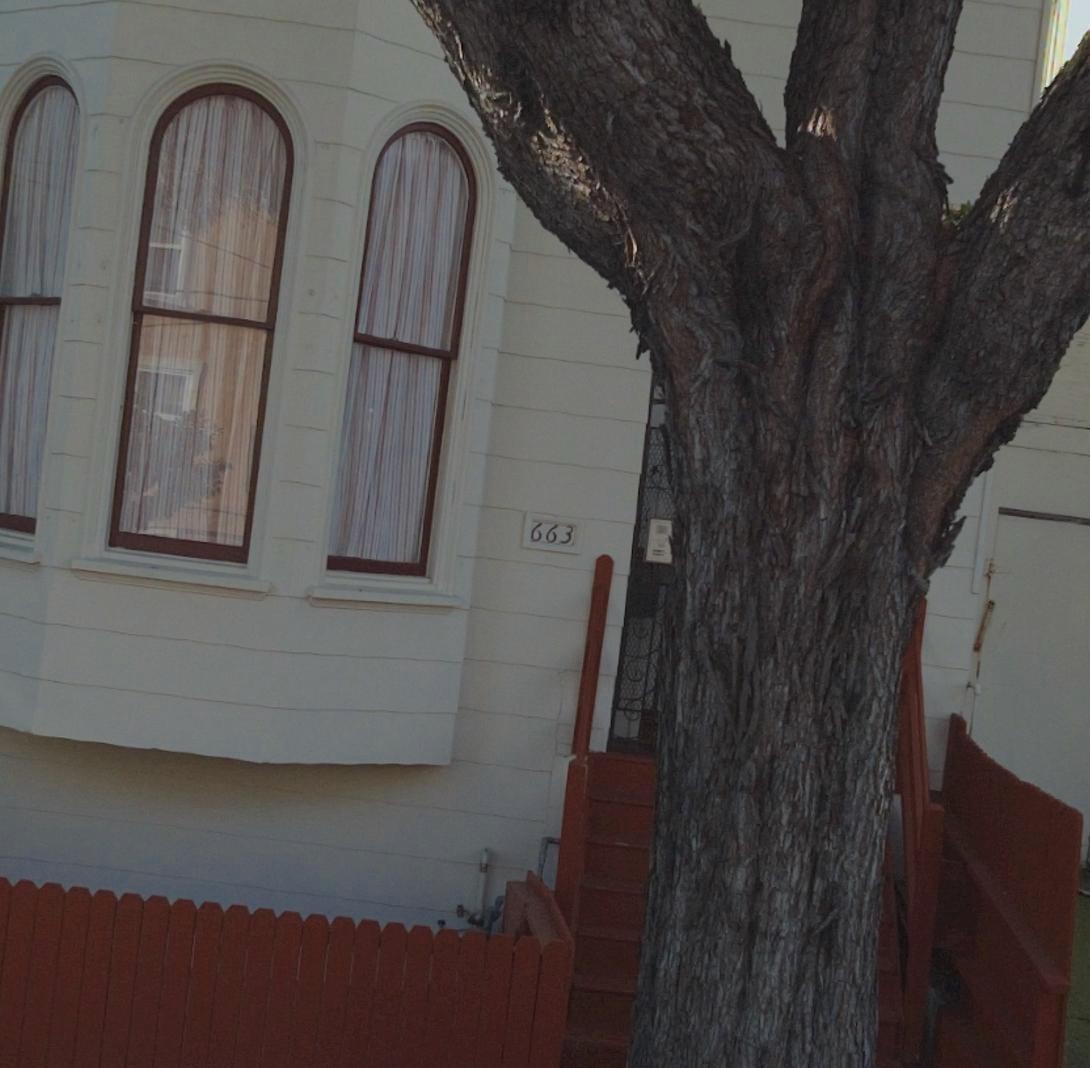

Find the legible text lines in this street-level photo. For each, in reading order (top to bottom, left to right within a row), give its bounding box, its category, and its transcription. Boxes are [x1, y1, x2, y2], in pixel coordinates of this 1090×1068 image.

[528, 518, 576, 549] StreetNumber: 663